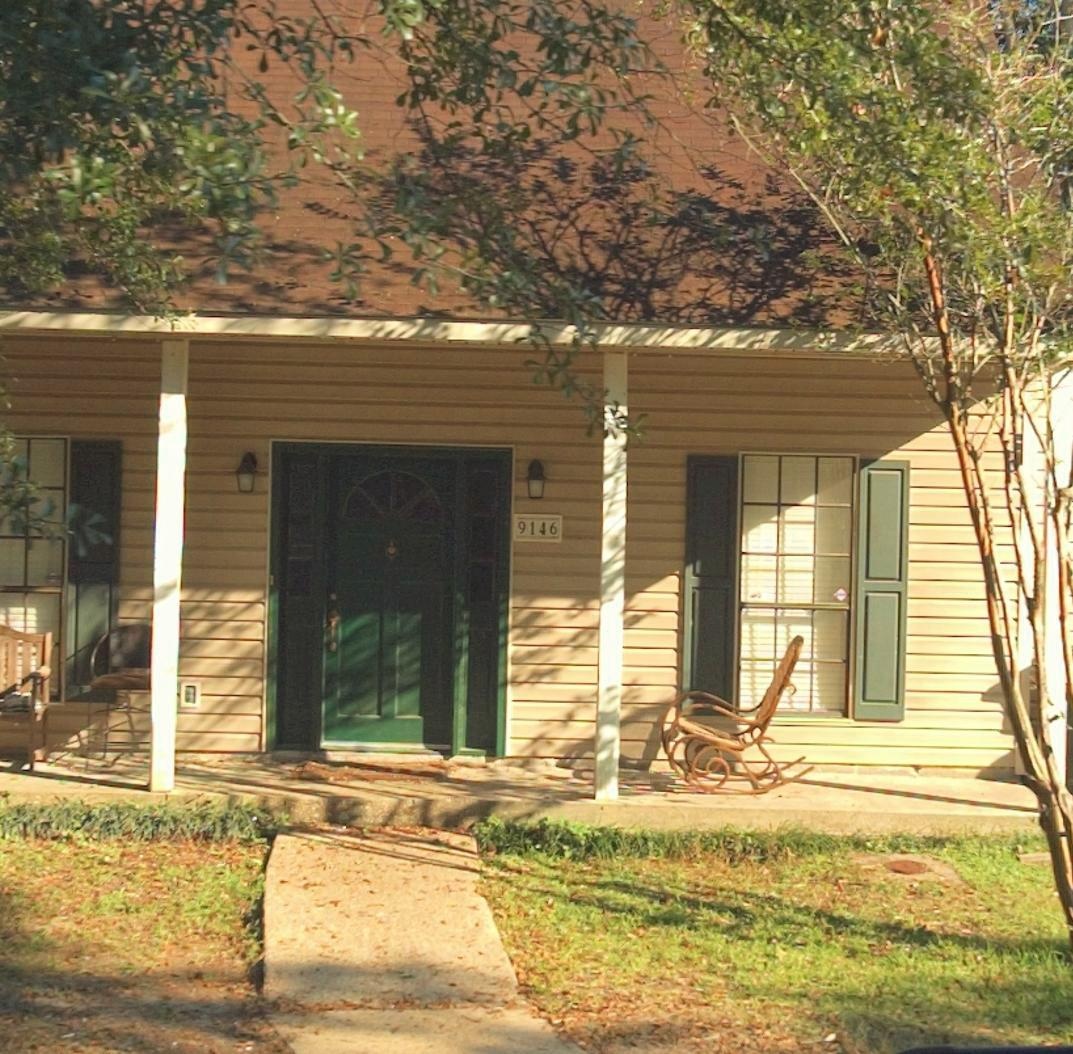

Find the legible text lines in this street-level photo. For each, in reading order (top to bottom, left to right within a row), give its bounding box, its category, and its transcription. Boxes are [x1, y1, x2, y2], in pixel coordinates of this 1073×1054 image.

[517, 520, 559, 536] StreetNumber: 9146